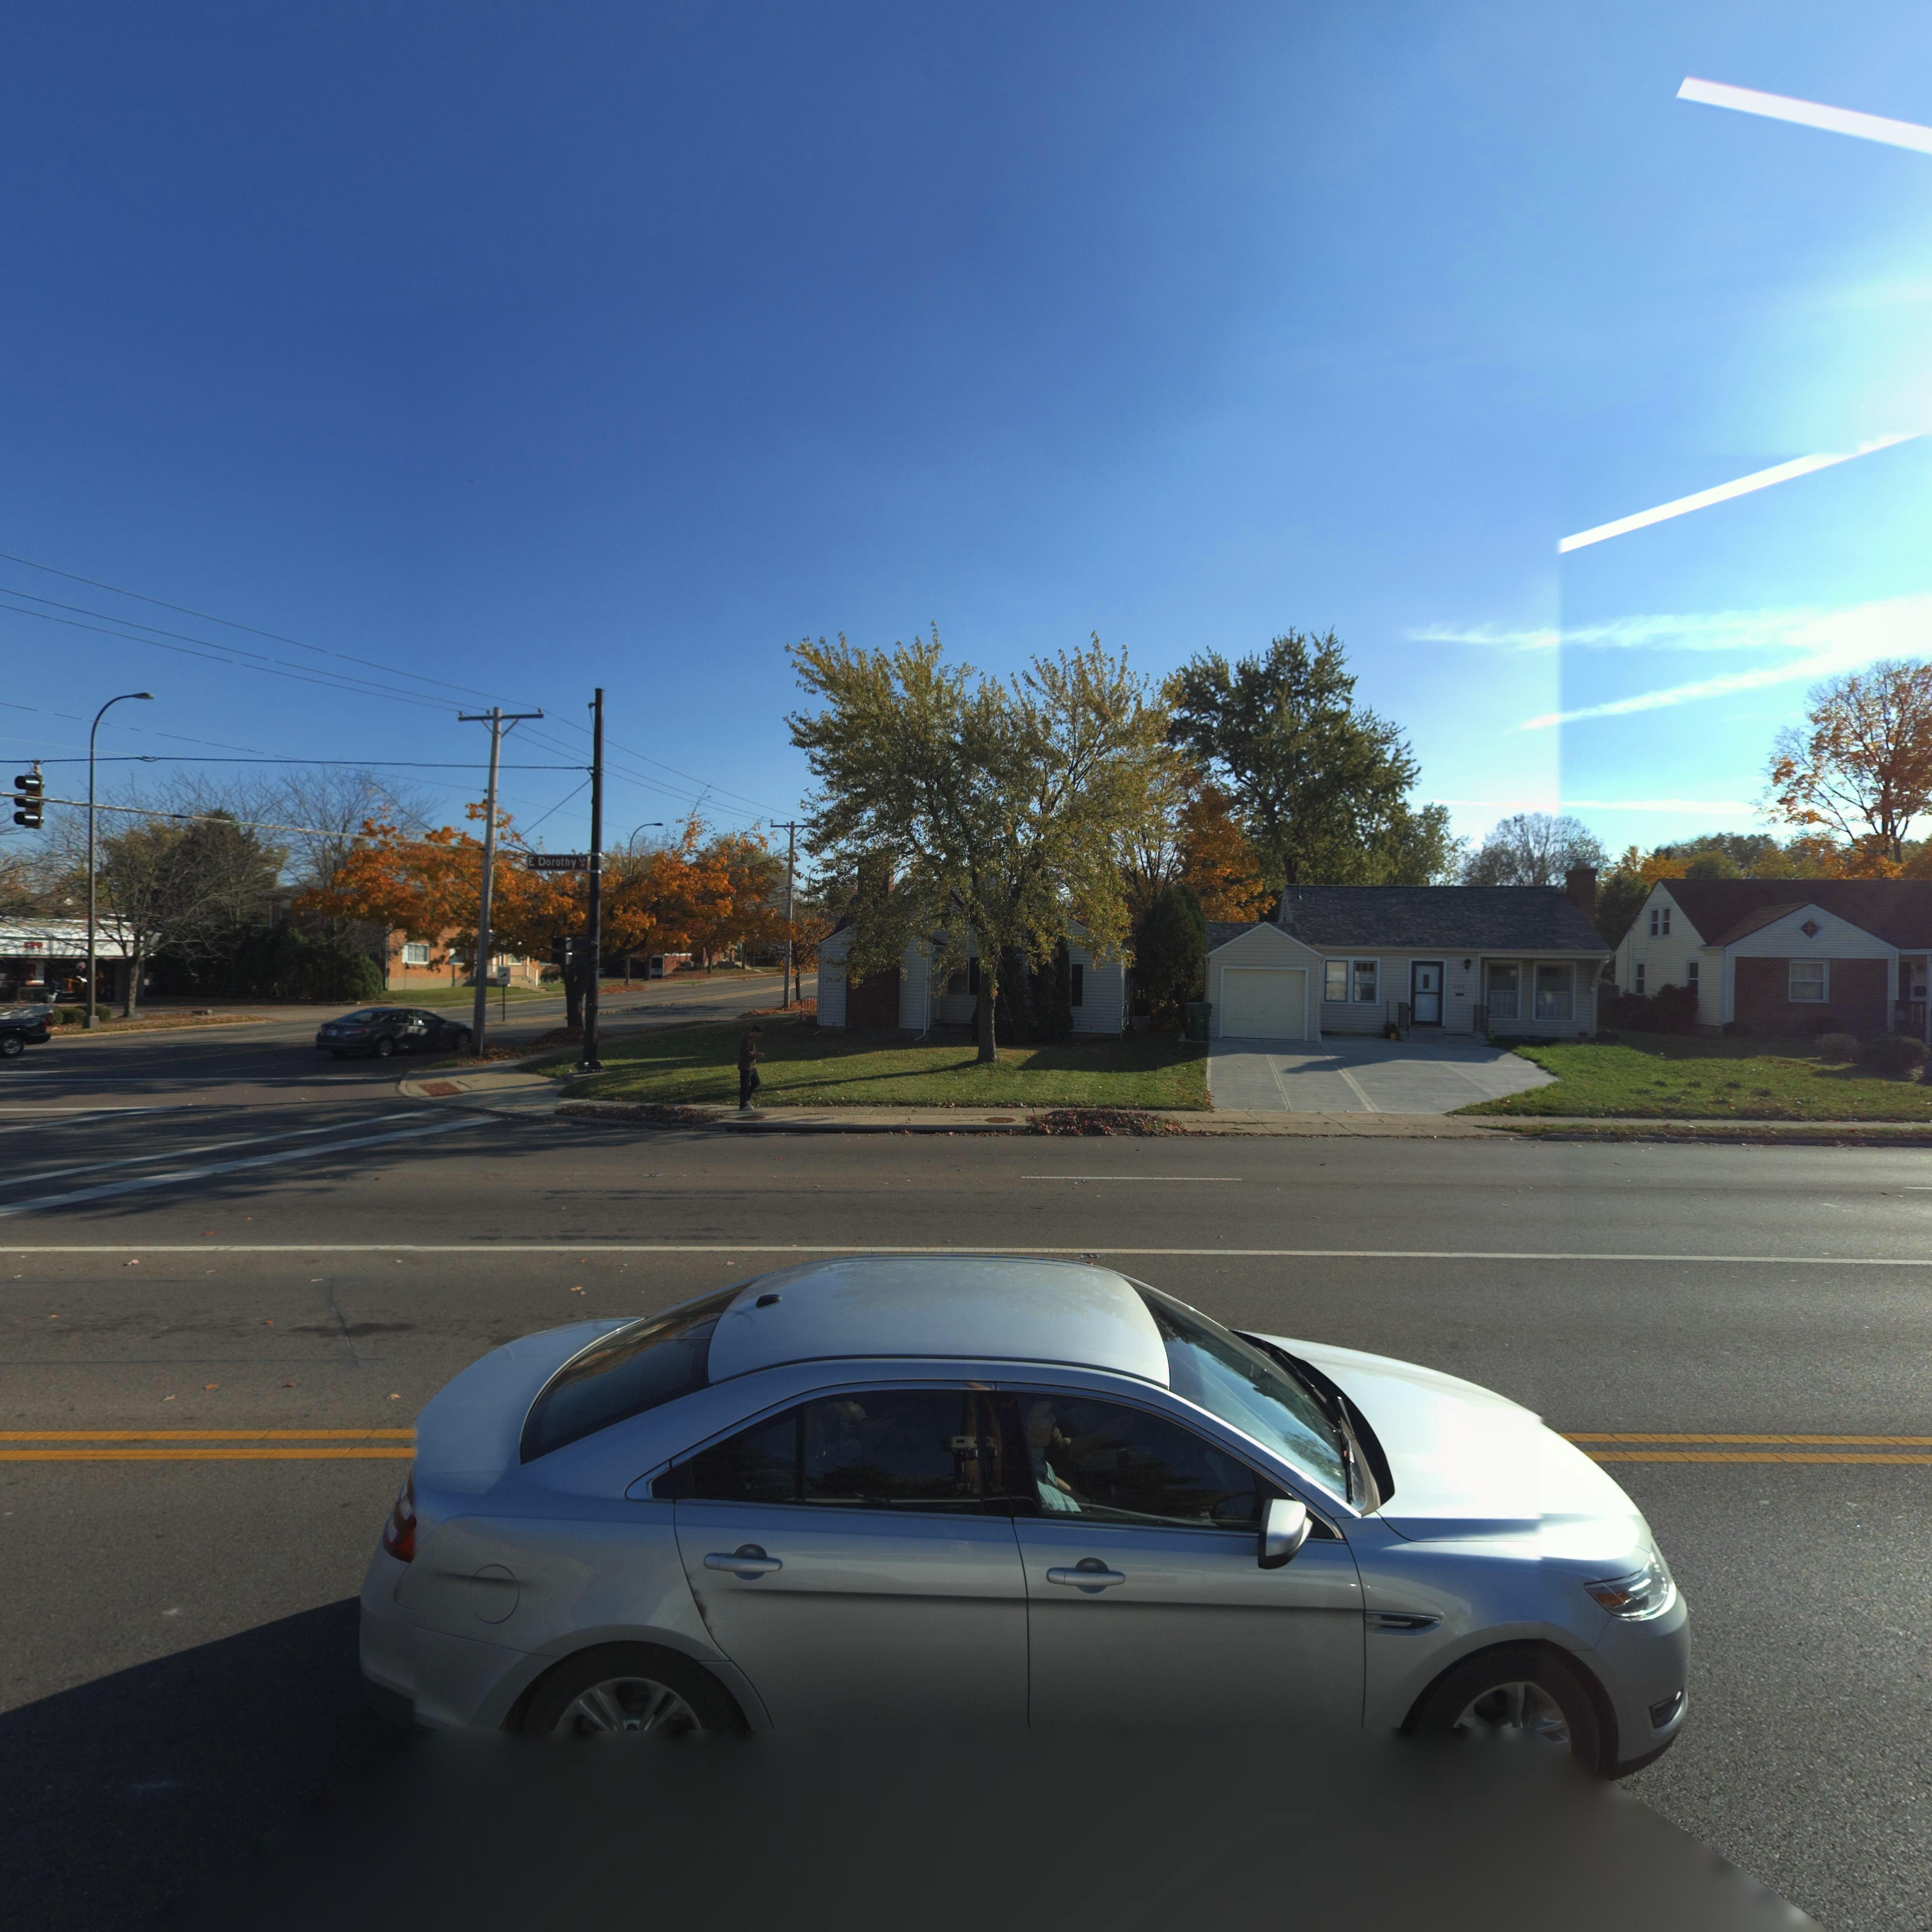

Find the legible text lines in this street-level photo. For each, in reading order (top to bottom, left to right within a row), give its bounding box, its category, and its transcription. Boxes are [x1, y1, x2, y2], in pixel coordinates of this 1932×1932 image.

[528, 856, 587, 870] StreetName: E Dorothy Ln
[1453, 984, 1465, 989] StreetNumber: *36